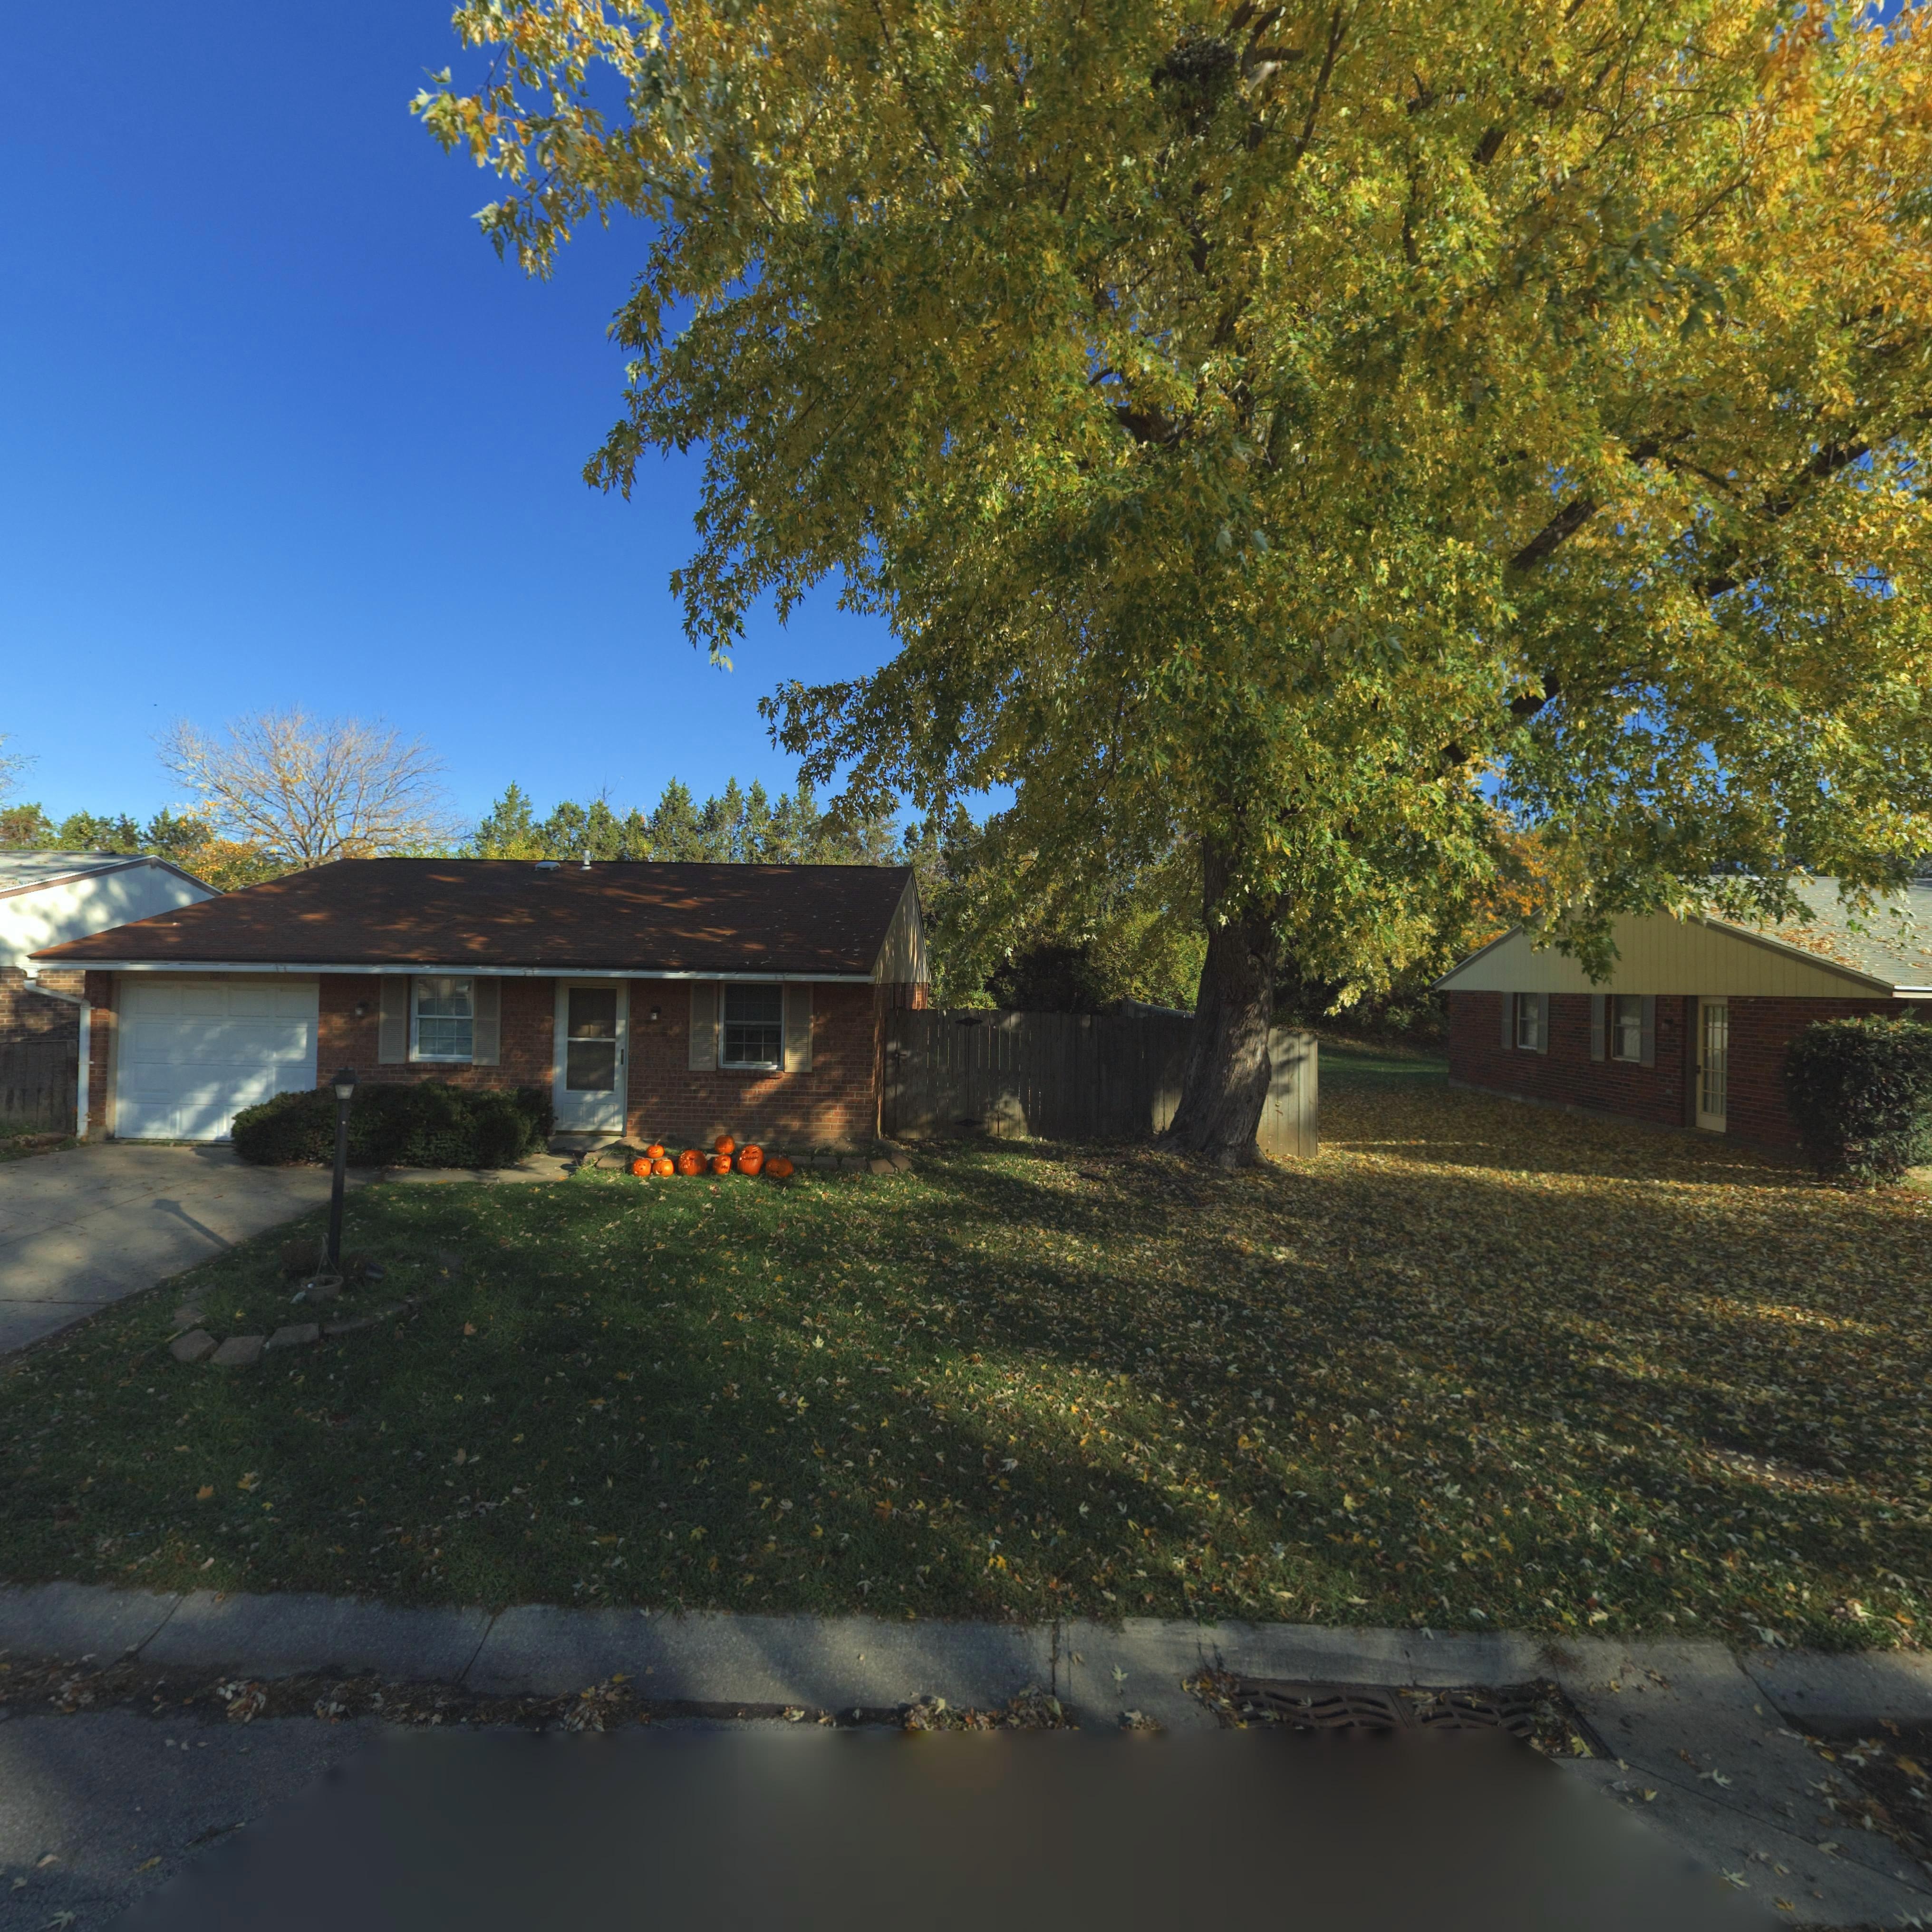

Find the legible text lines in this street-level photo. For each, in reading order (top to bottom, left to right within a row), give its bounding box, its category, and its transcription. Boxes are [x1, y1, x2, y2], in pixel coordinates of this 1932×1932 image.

[208, 971, 232, 981] StreetNumber: 8247